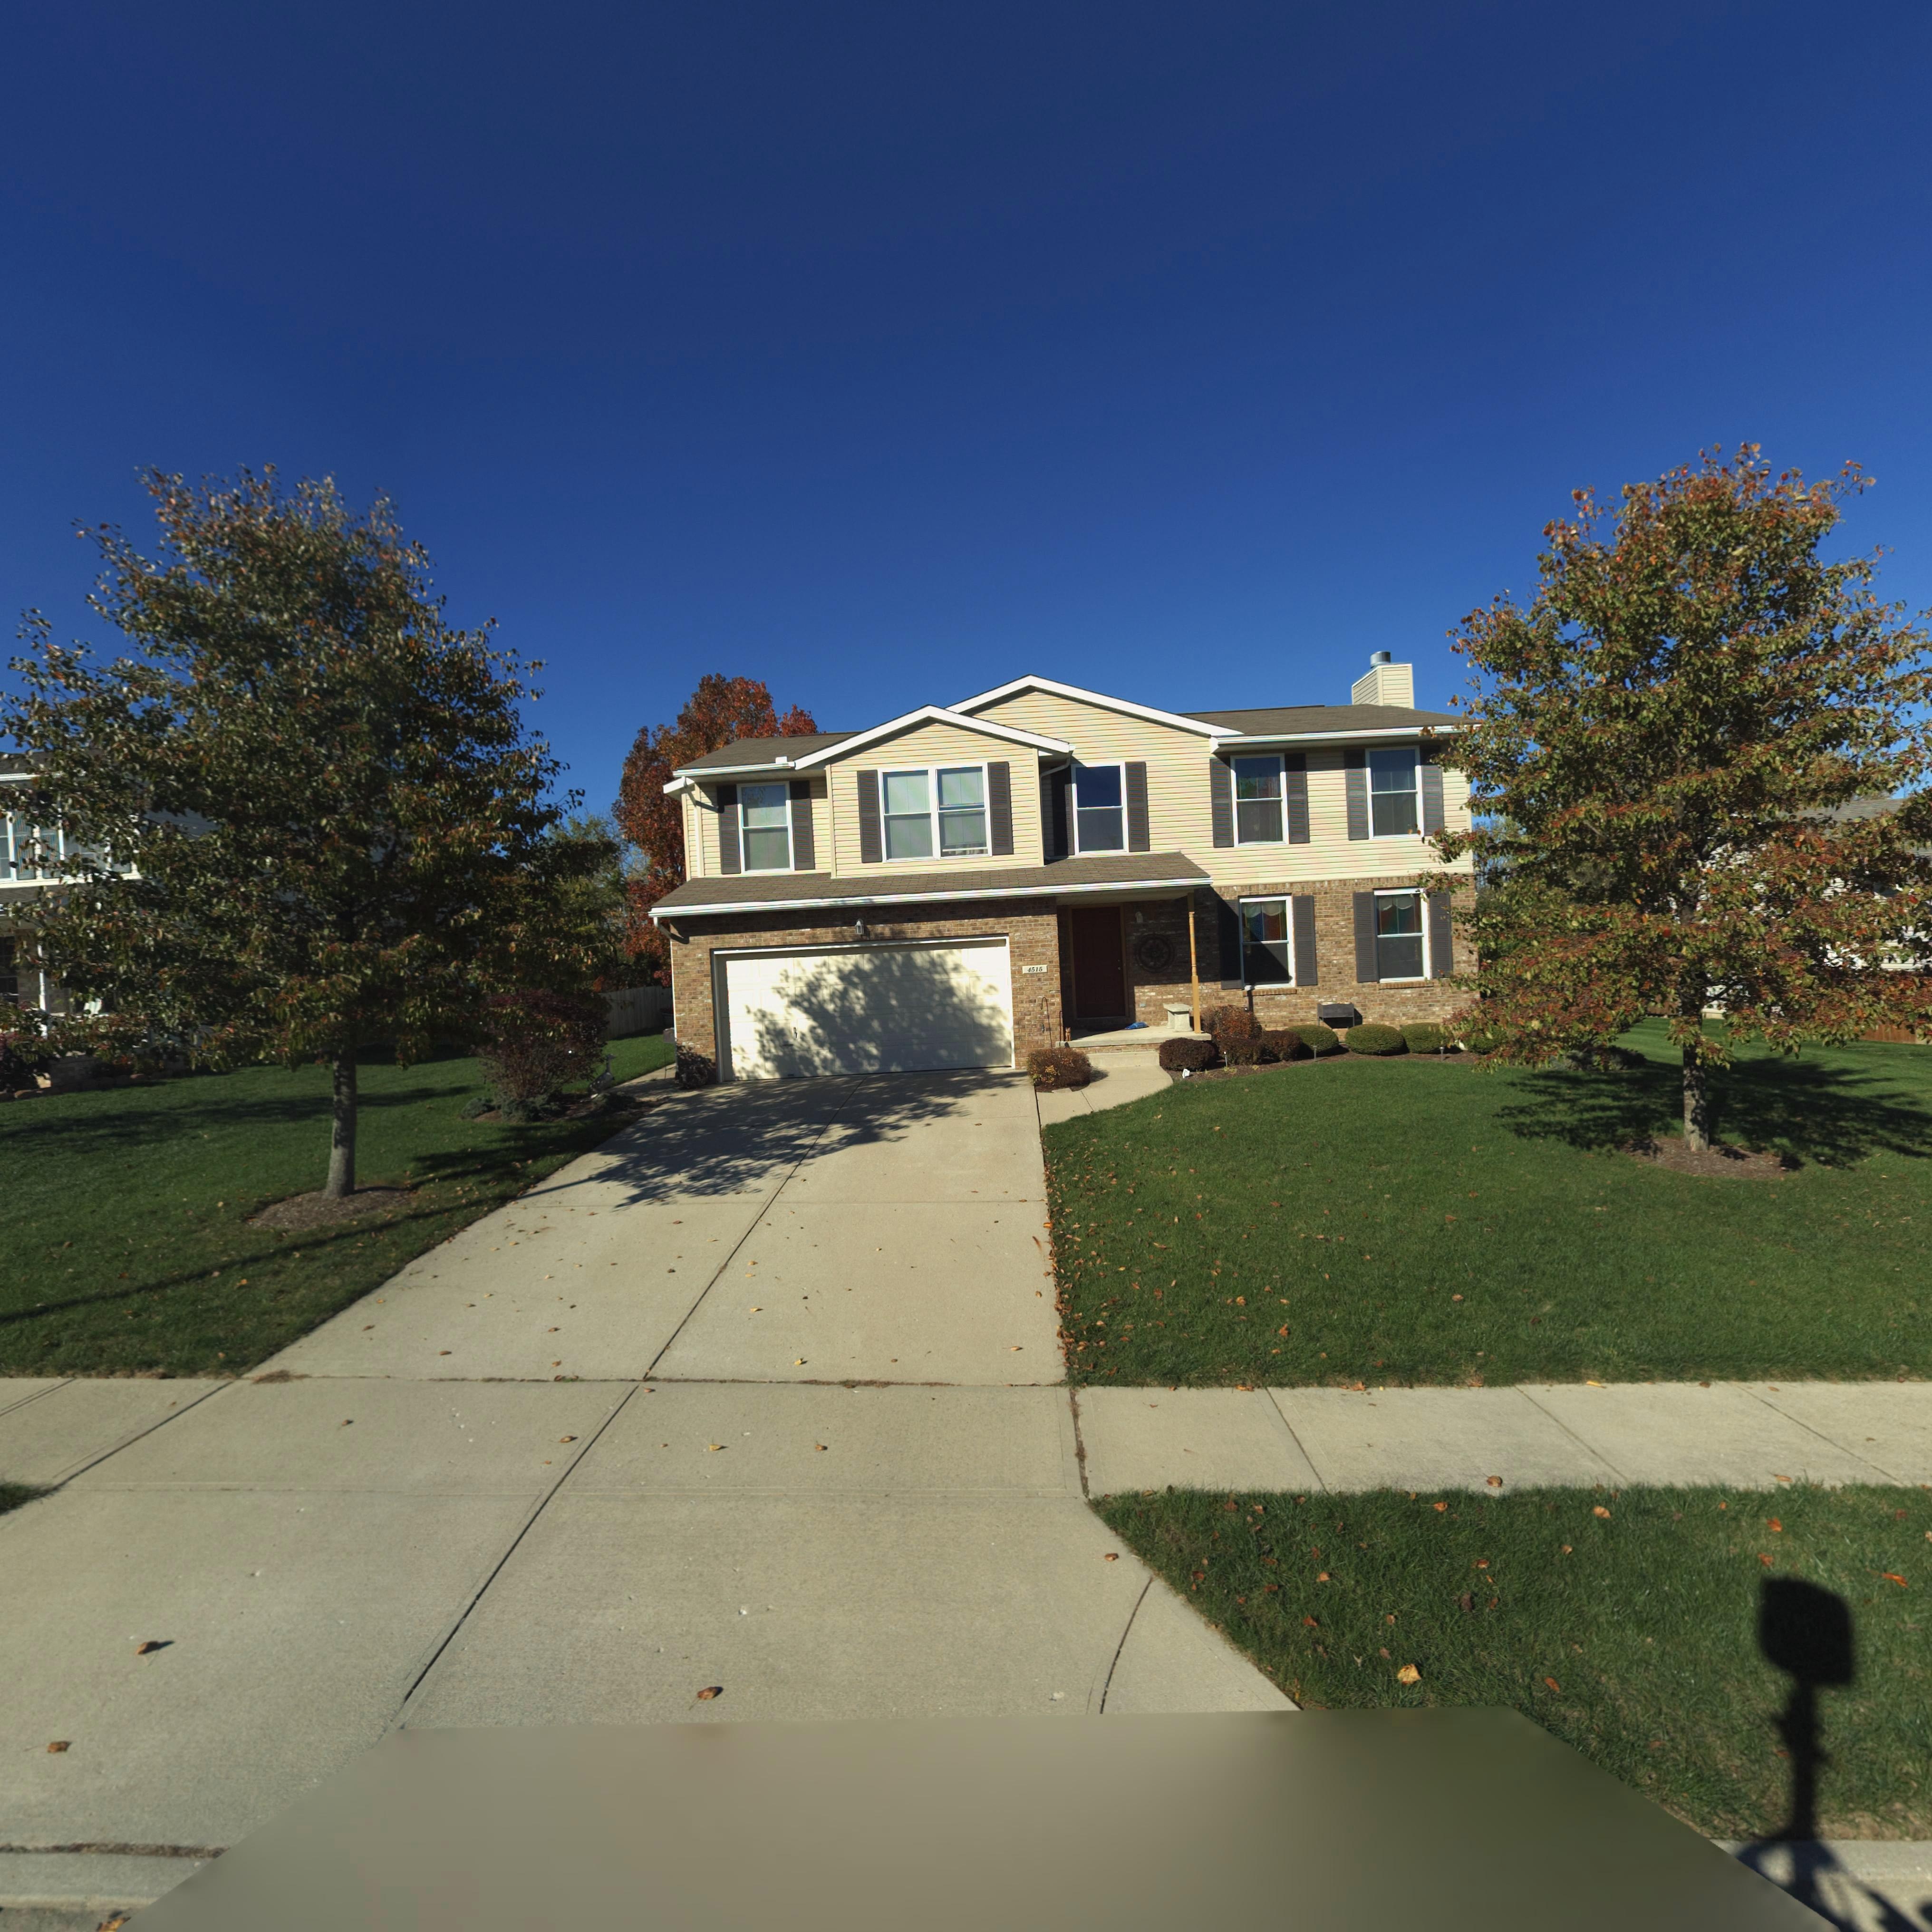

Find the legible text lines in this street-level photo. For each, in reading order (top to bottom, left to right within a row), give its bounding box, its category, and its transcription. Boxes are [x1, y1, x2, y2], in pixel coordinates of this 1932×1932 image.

[1026, 966, 1043, 974] StreetNumber: 4515